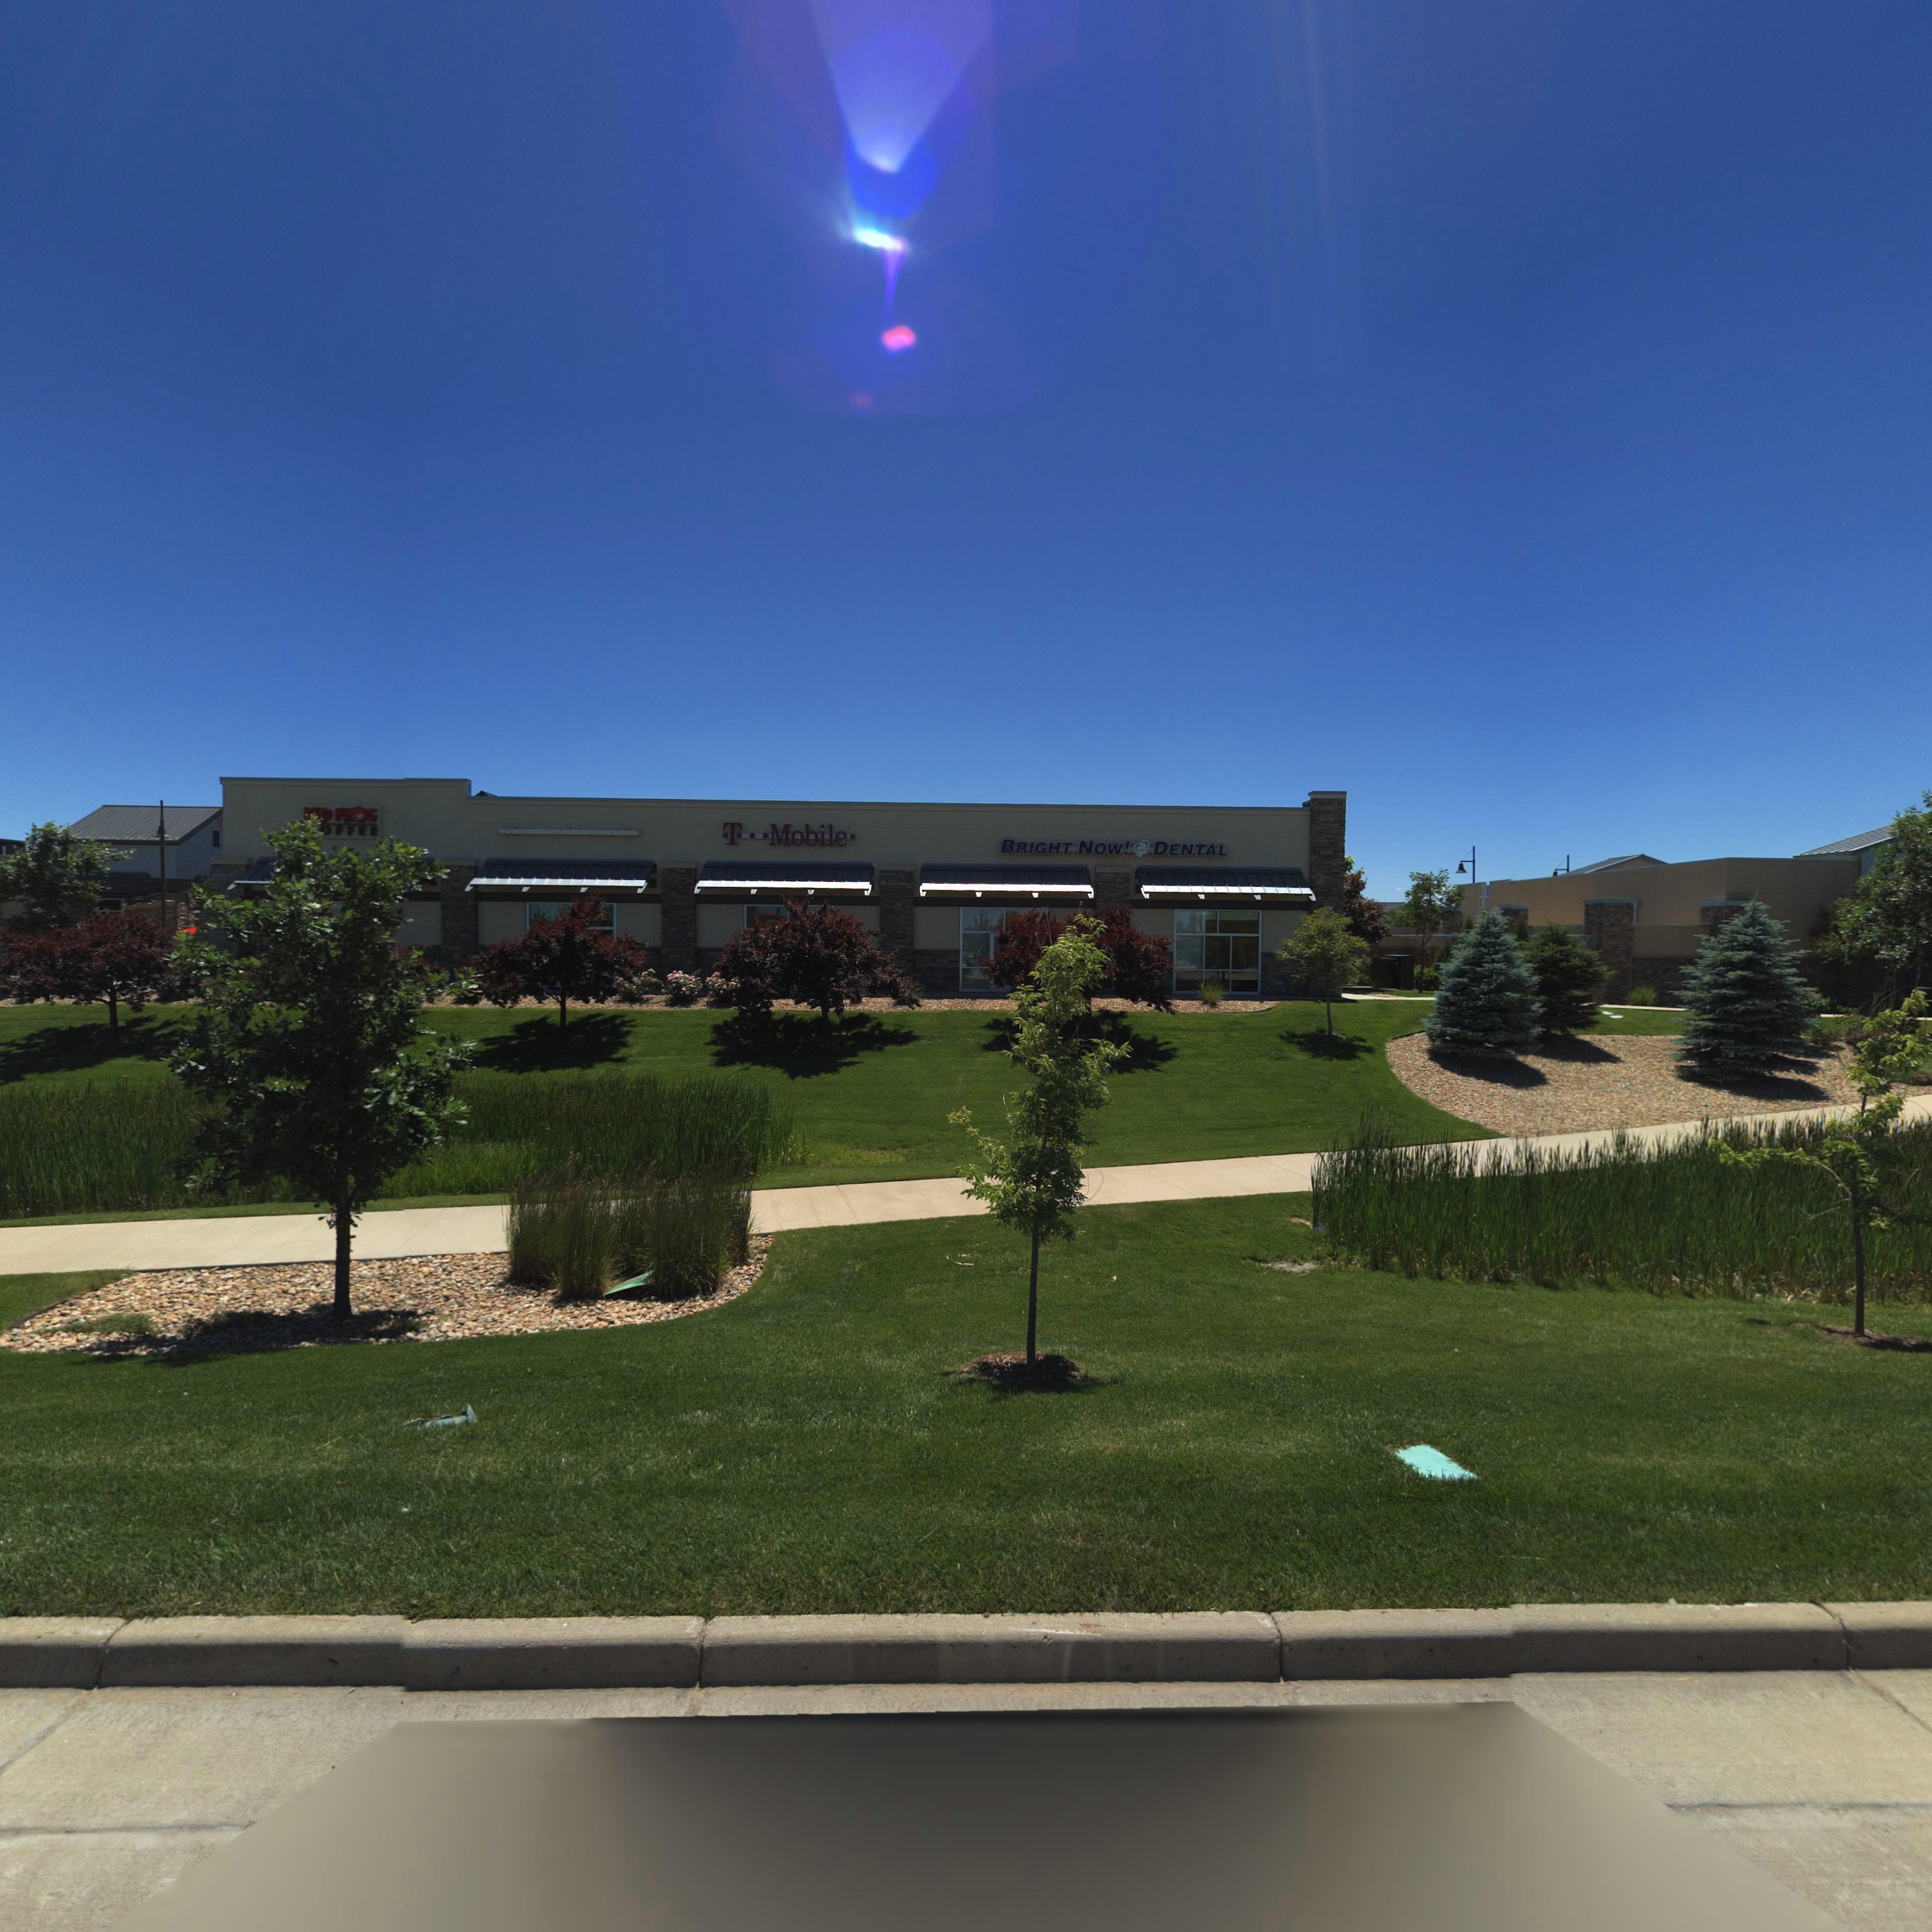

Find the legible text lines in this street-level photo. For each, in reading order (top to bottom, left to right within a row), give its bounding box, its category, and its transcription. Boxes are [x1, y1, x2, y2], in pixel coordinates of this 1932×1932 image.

[304, 805, 378, 824] BusinessName: **D FR*GS
[319, 824, 378, 836] BusinessName: *FFEE
[999, 839, 1227, 856] BusinessName: BRIGHT NOW! DENTAL